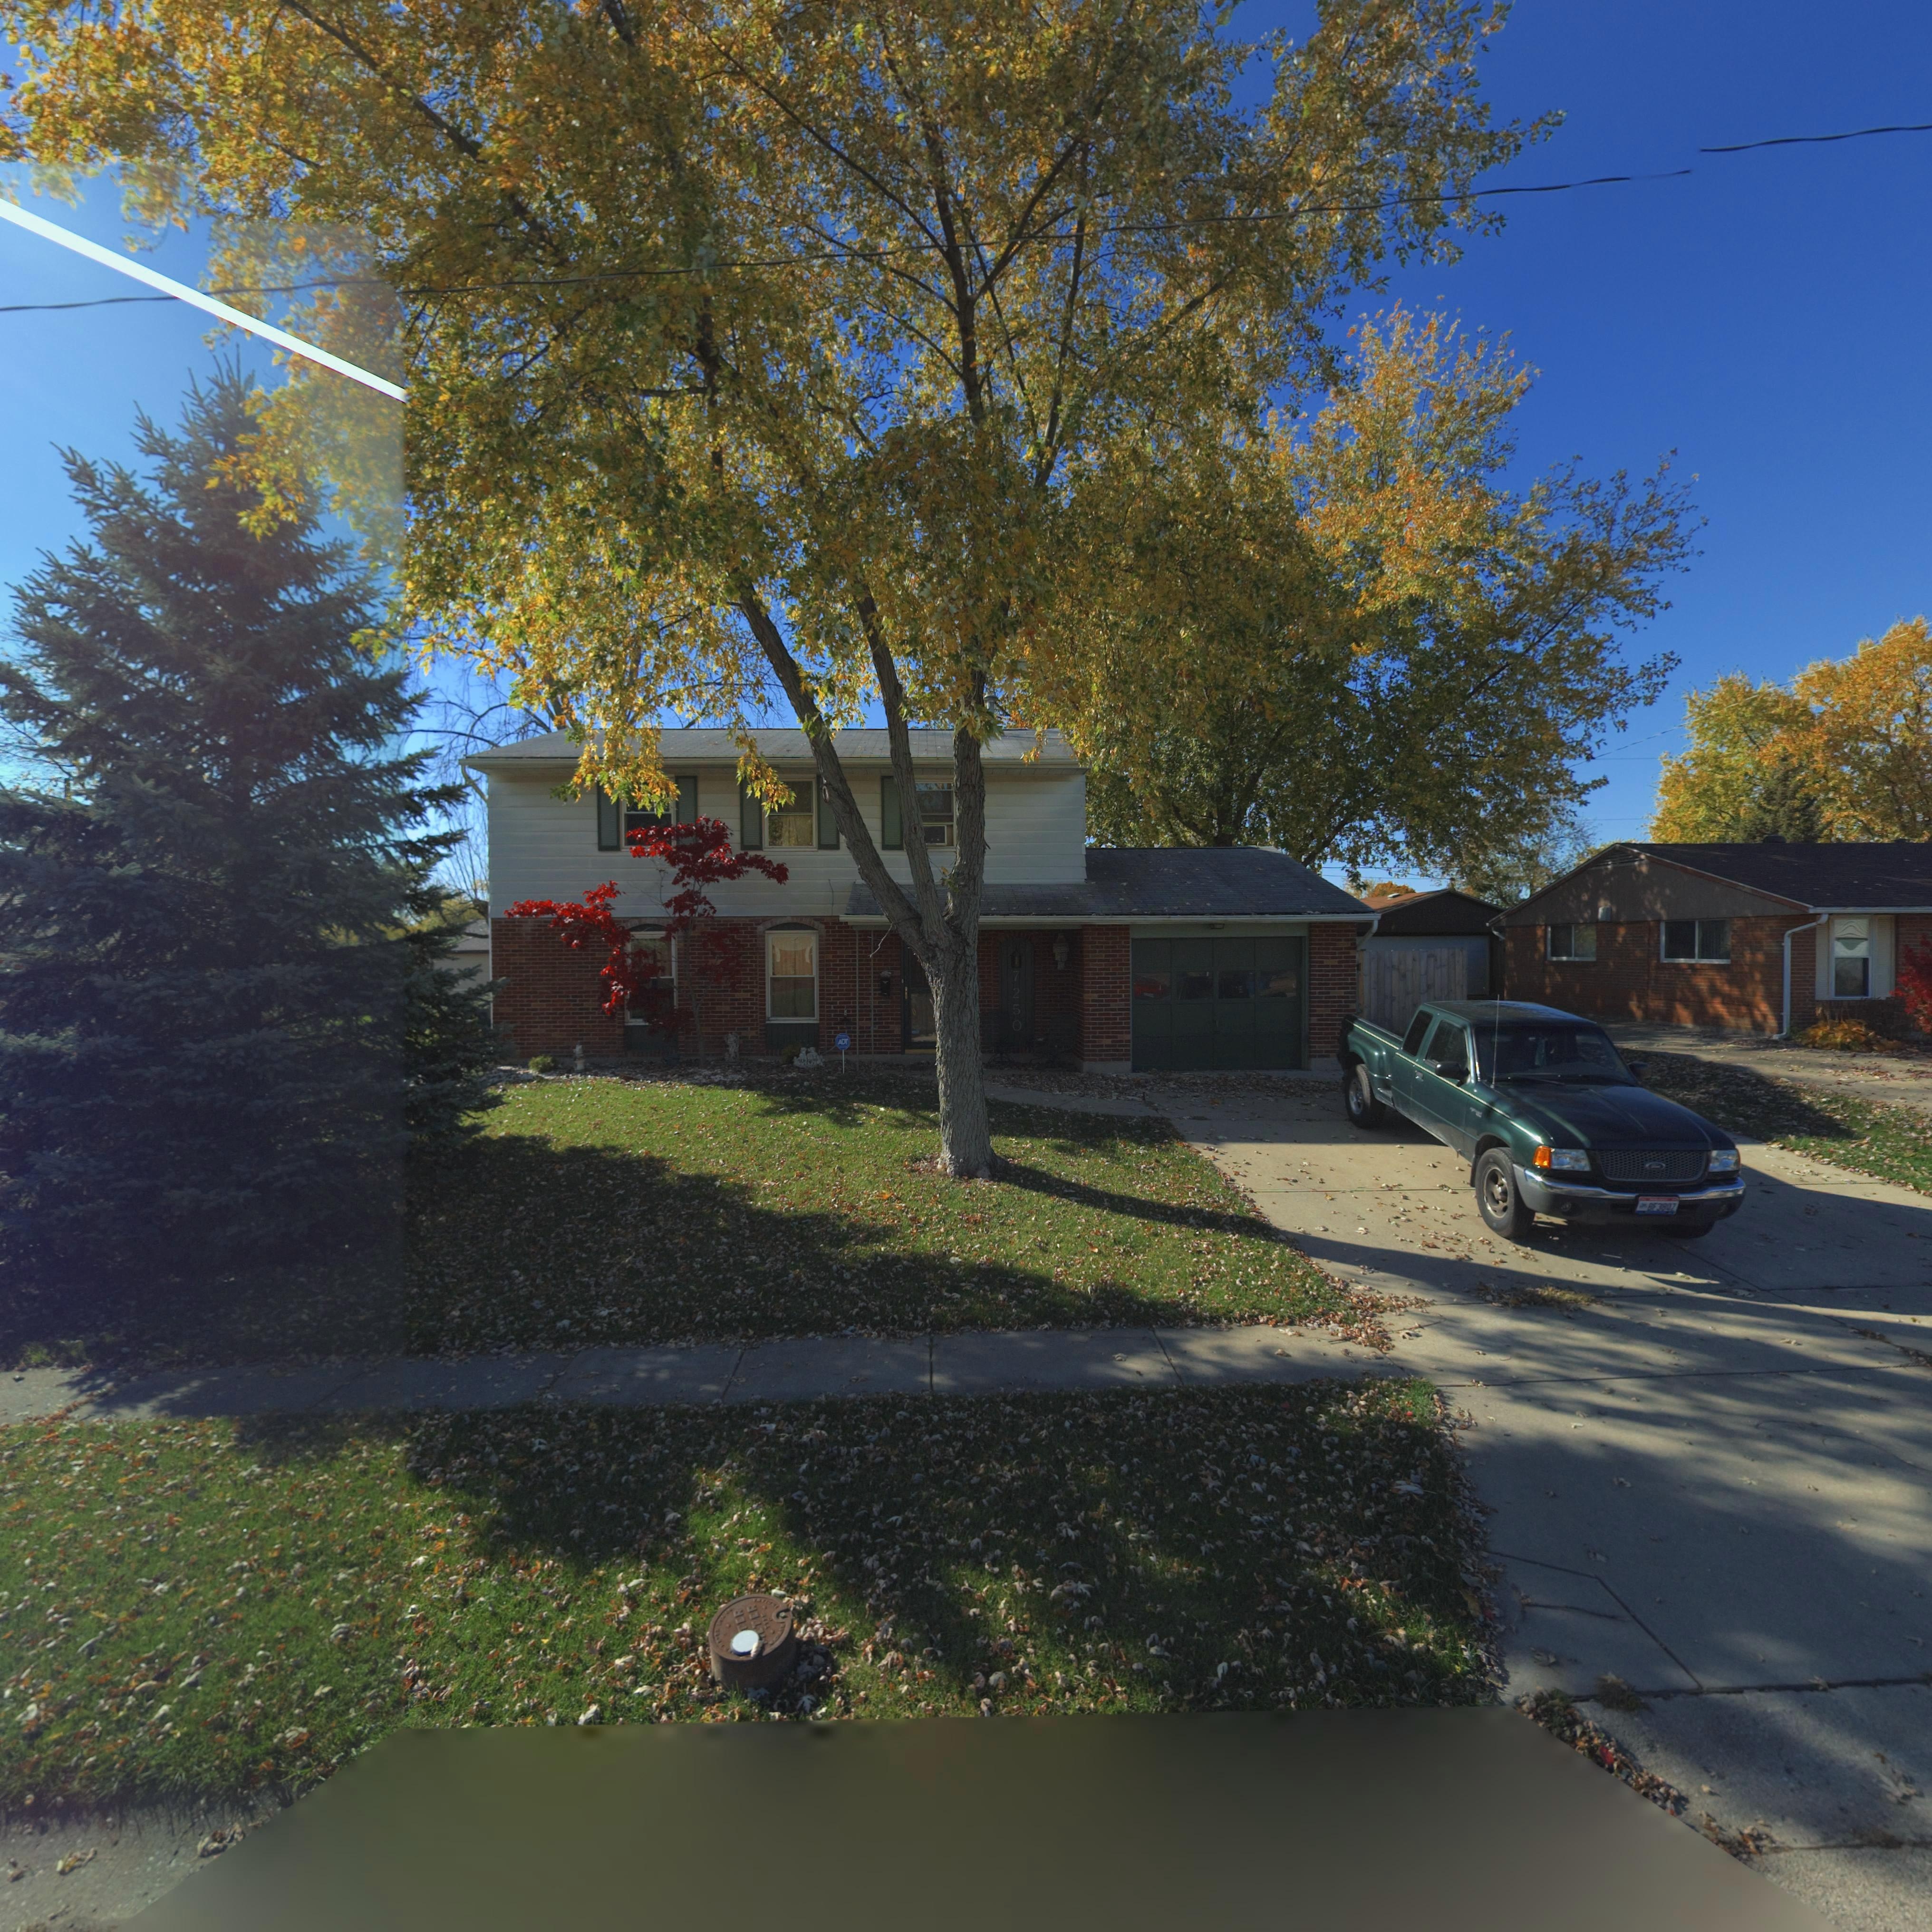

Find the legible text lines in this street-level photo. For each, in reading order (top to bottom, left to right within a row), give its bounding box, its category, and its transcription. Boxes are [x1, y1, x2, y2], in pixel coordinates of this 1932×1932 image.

[1011, 969, 1024, 1033] StreetNumber: 7250